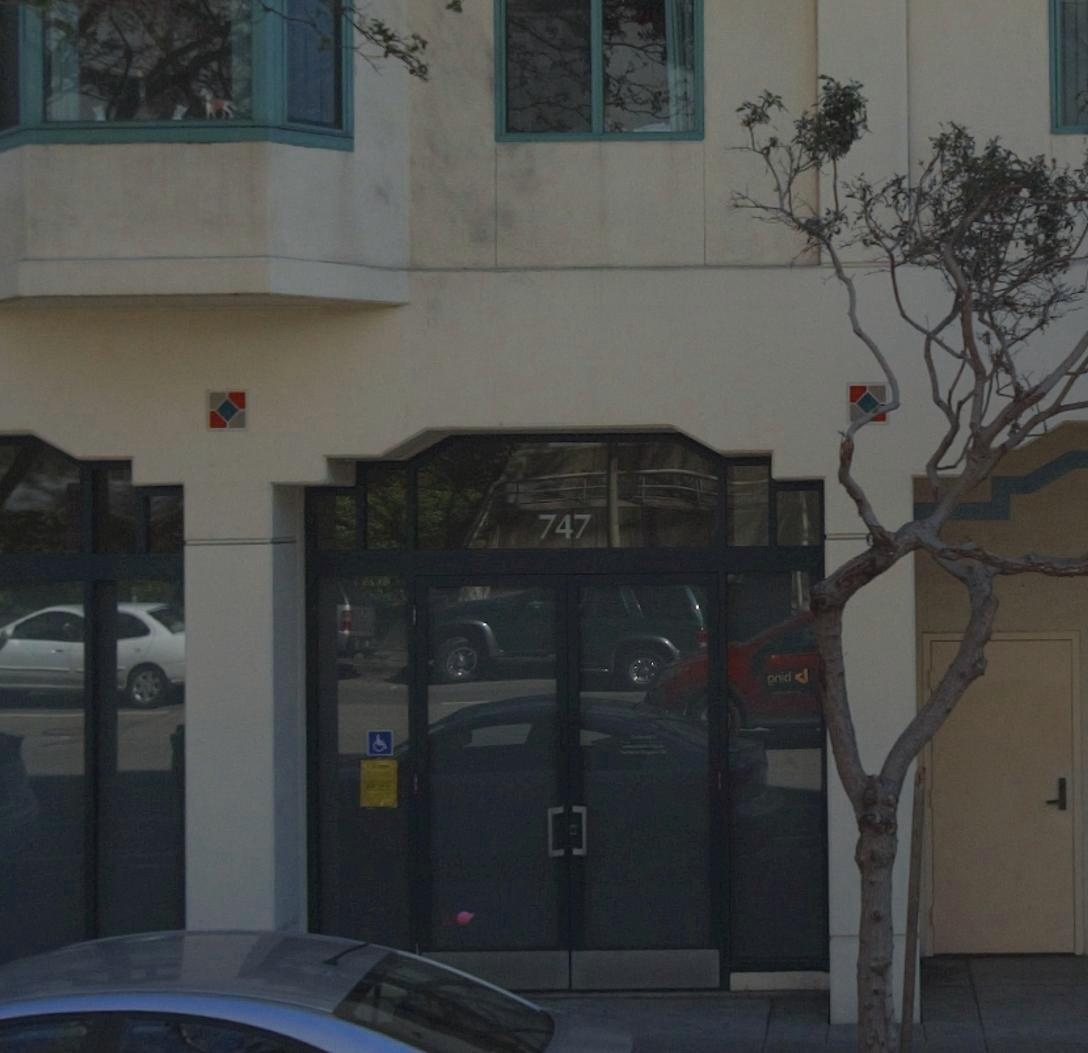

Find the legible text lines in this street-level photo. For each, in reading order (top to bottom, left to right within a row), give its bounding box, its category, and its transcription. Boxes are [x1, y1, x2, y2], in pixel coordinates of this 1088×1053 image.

[536, 511, 597, 543] StreetNumber: 747
[764, 669, 795, 692] None: **i*